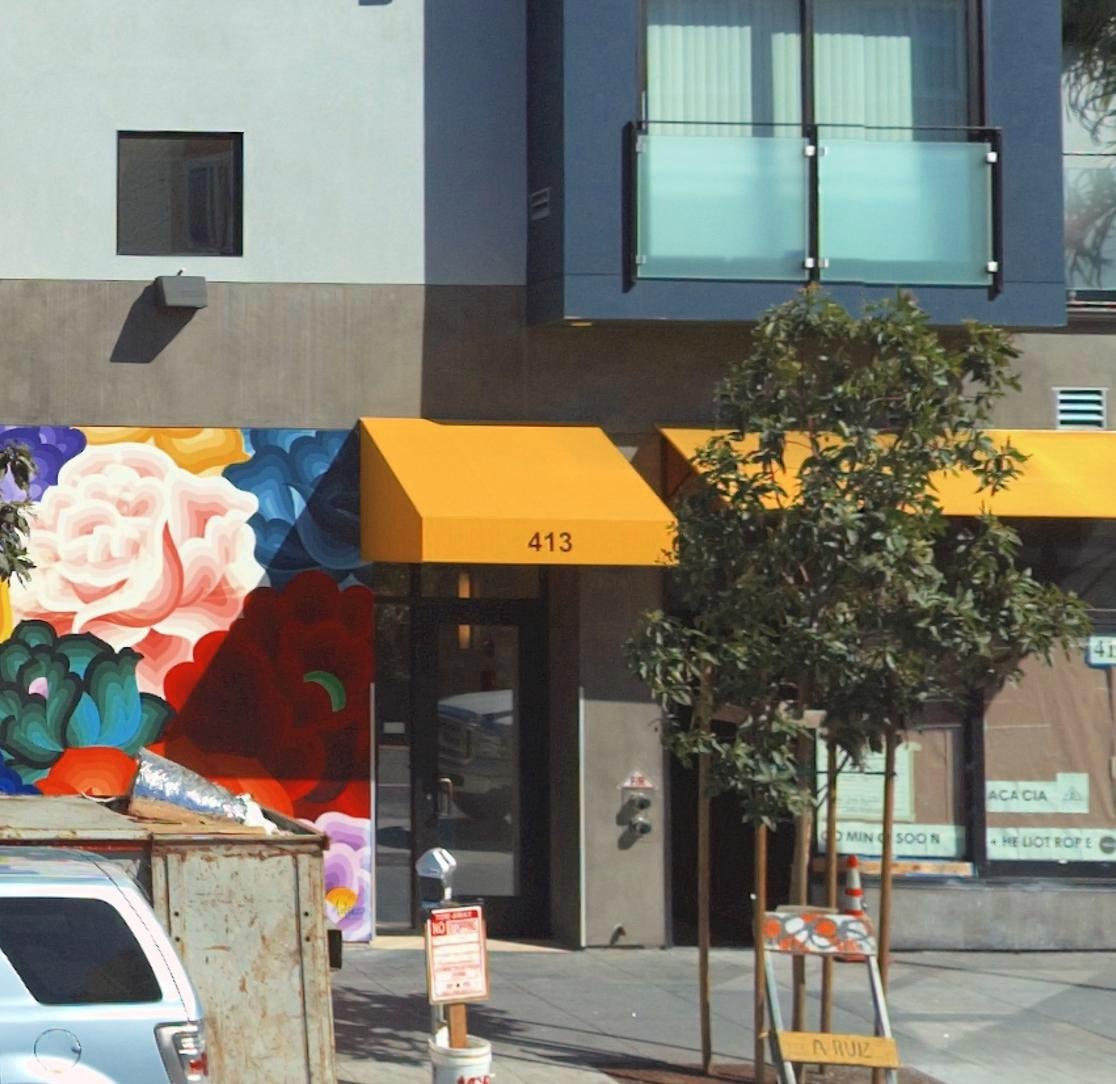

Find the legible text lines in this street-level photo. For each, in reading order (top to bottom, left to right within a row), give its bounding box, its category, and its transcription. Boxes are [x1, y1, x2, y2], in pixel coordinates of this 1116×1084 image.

[527, 531, 573, 553] StreetNumber: 413
[1090, 639, 1105, 658] None: 4
[986, 789, 1049, 802] None: ACACIA
[843, 829, 942, 845] None: MIN* SOON
[1021, 836, 1092, 850] None: LIOT ROPE
[431, 919, 478, 936] None: NO STOPPING
[812, 1038, 874, 1058] None: A RUIZ